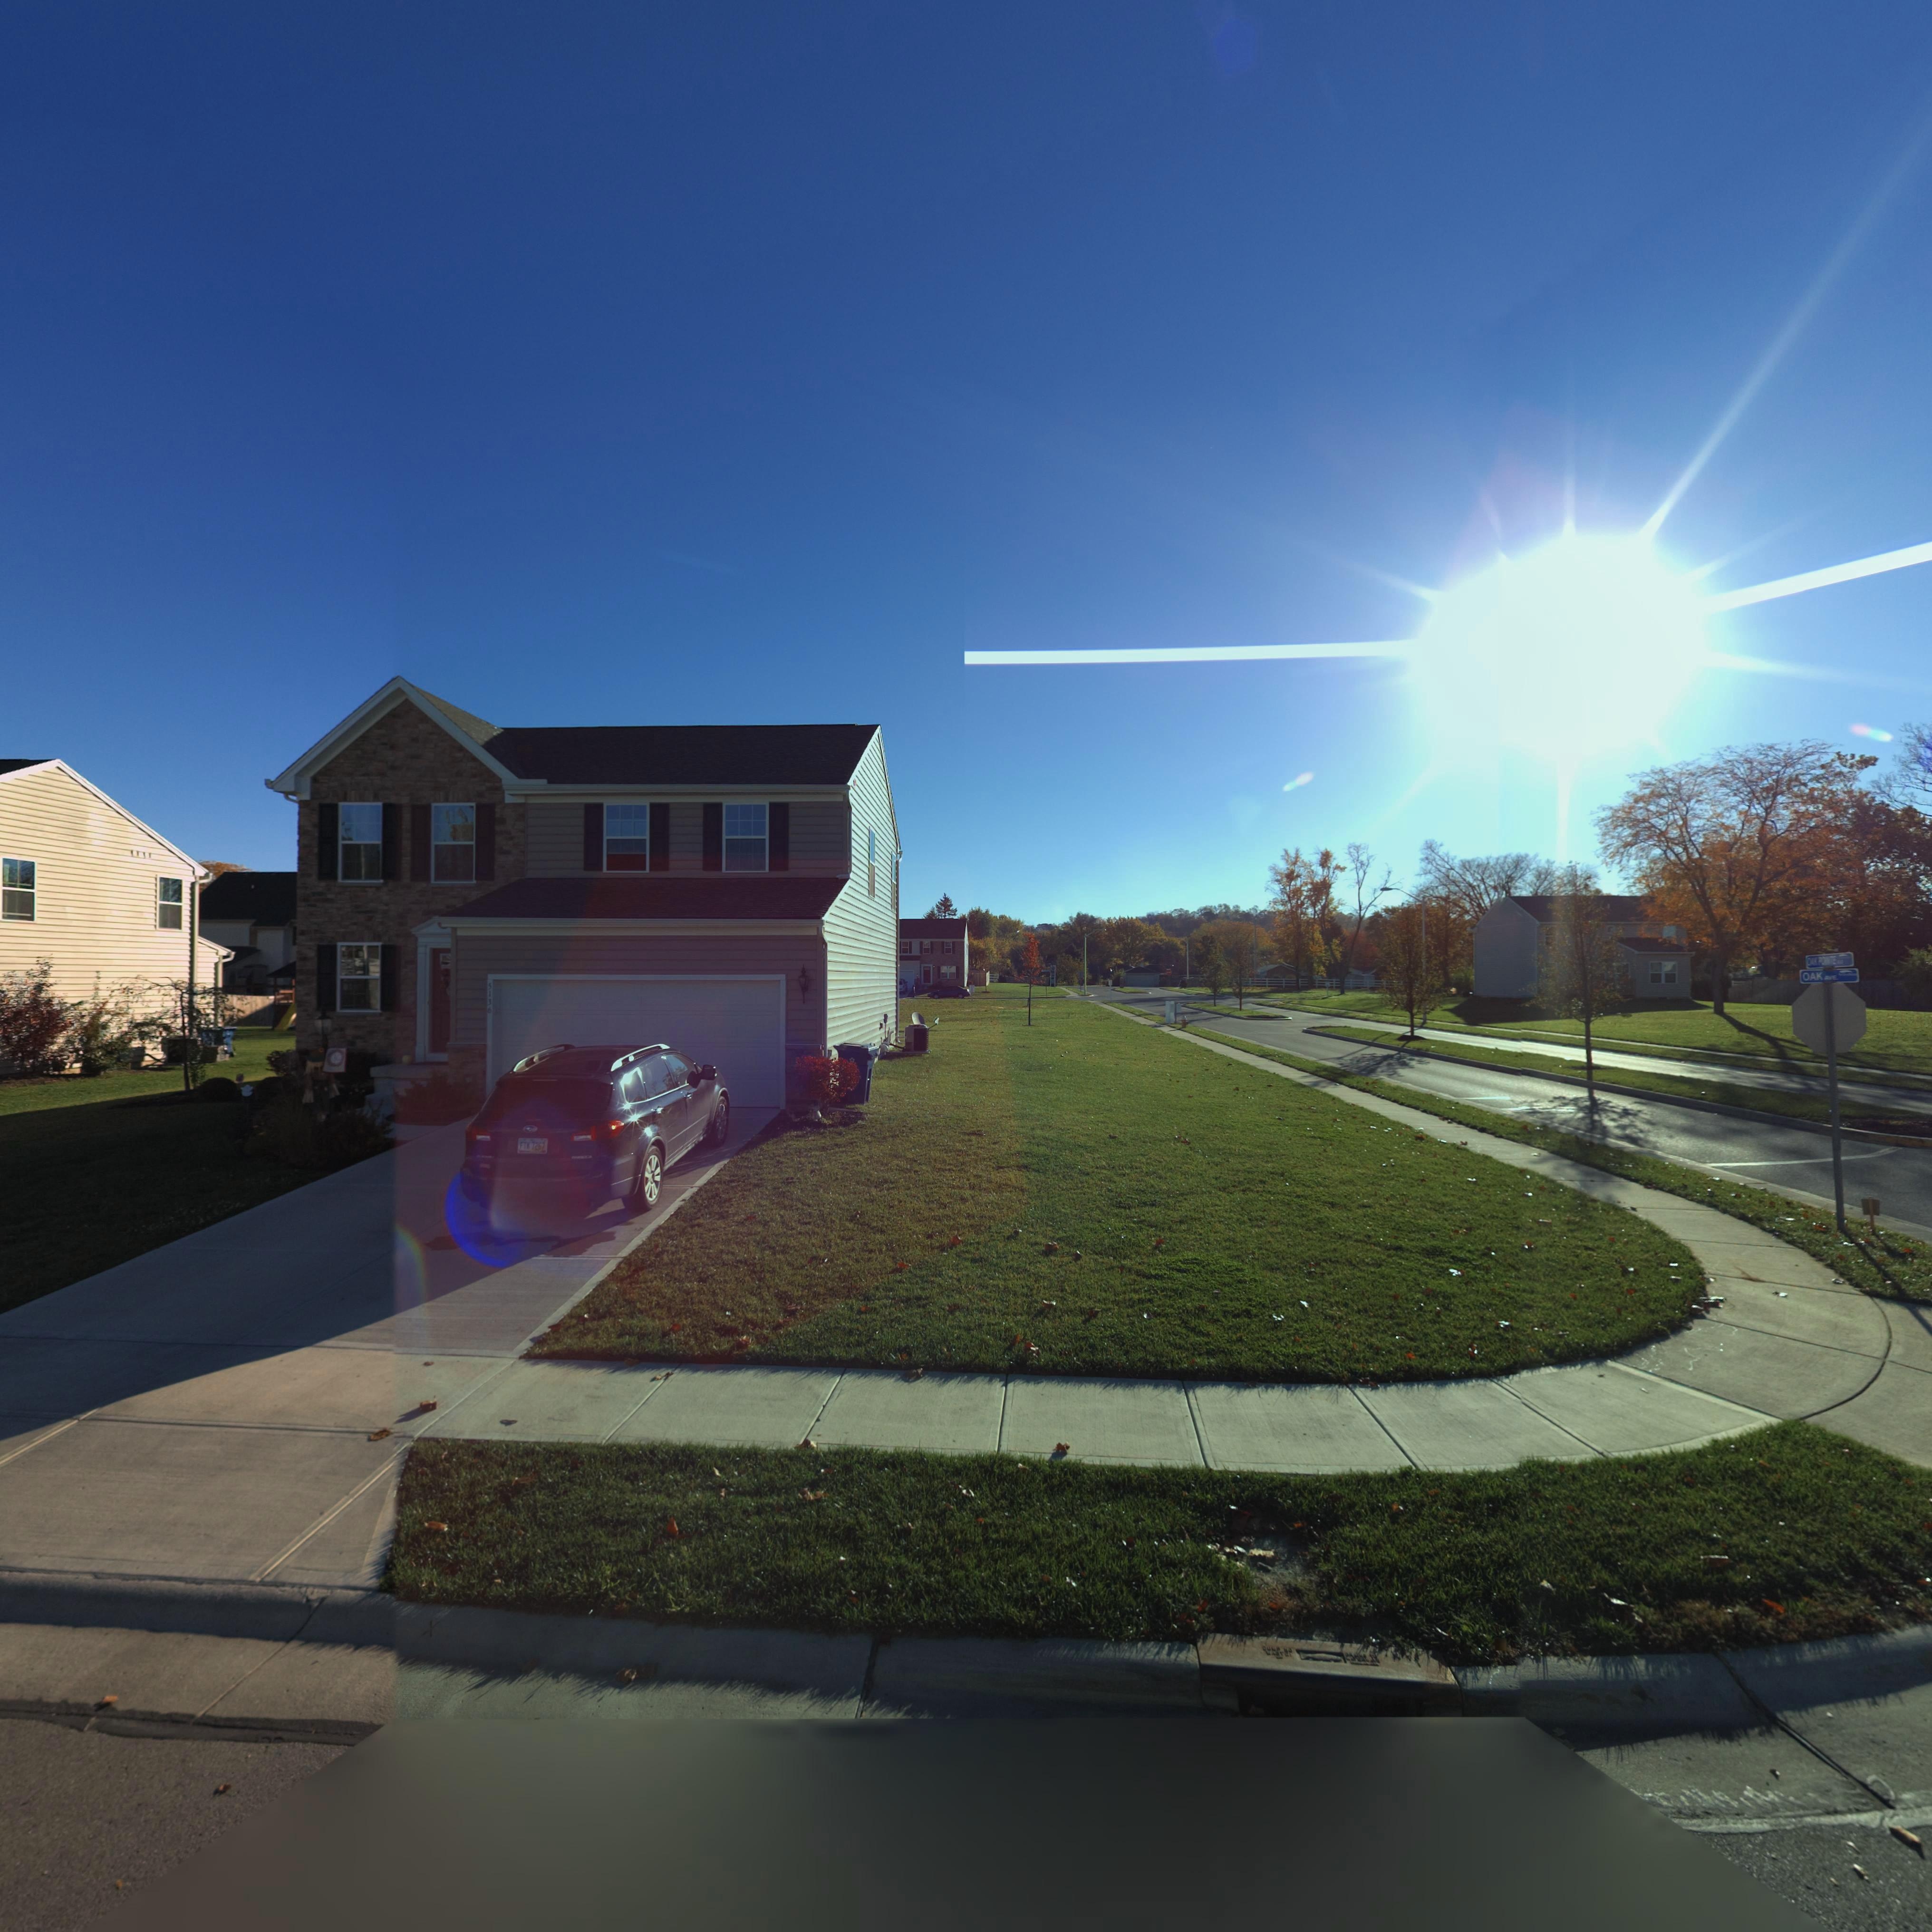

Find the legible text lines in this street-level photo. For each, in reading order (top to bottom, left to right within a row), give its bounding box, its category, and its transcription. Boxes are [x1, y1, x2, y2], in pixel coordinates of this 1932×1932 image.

[486, 982, 493, 1014] StreetNumber: 5136